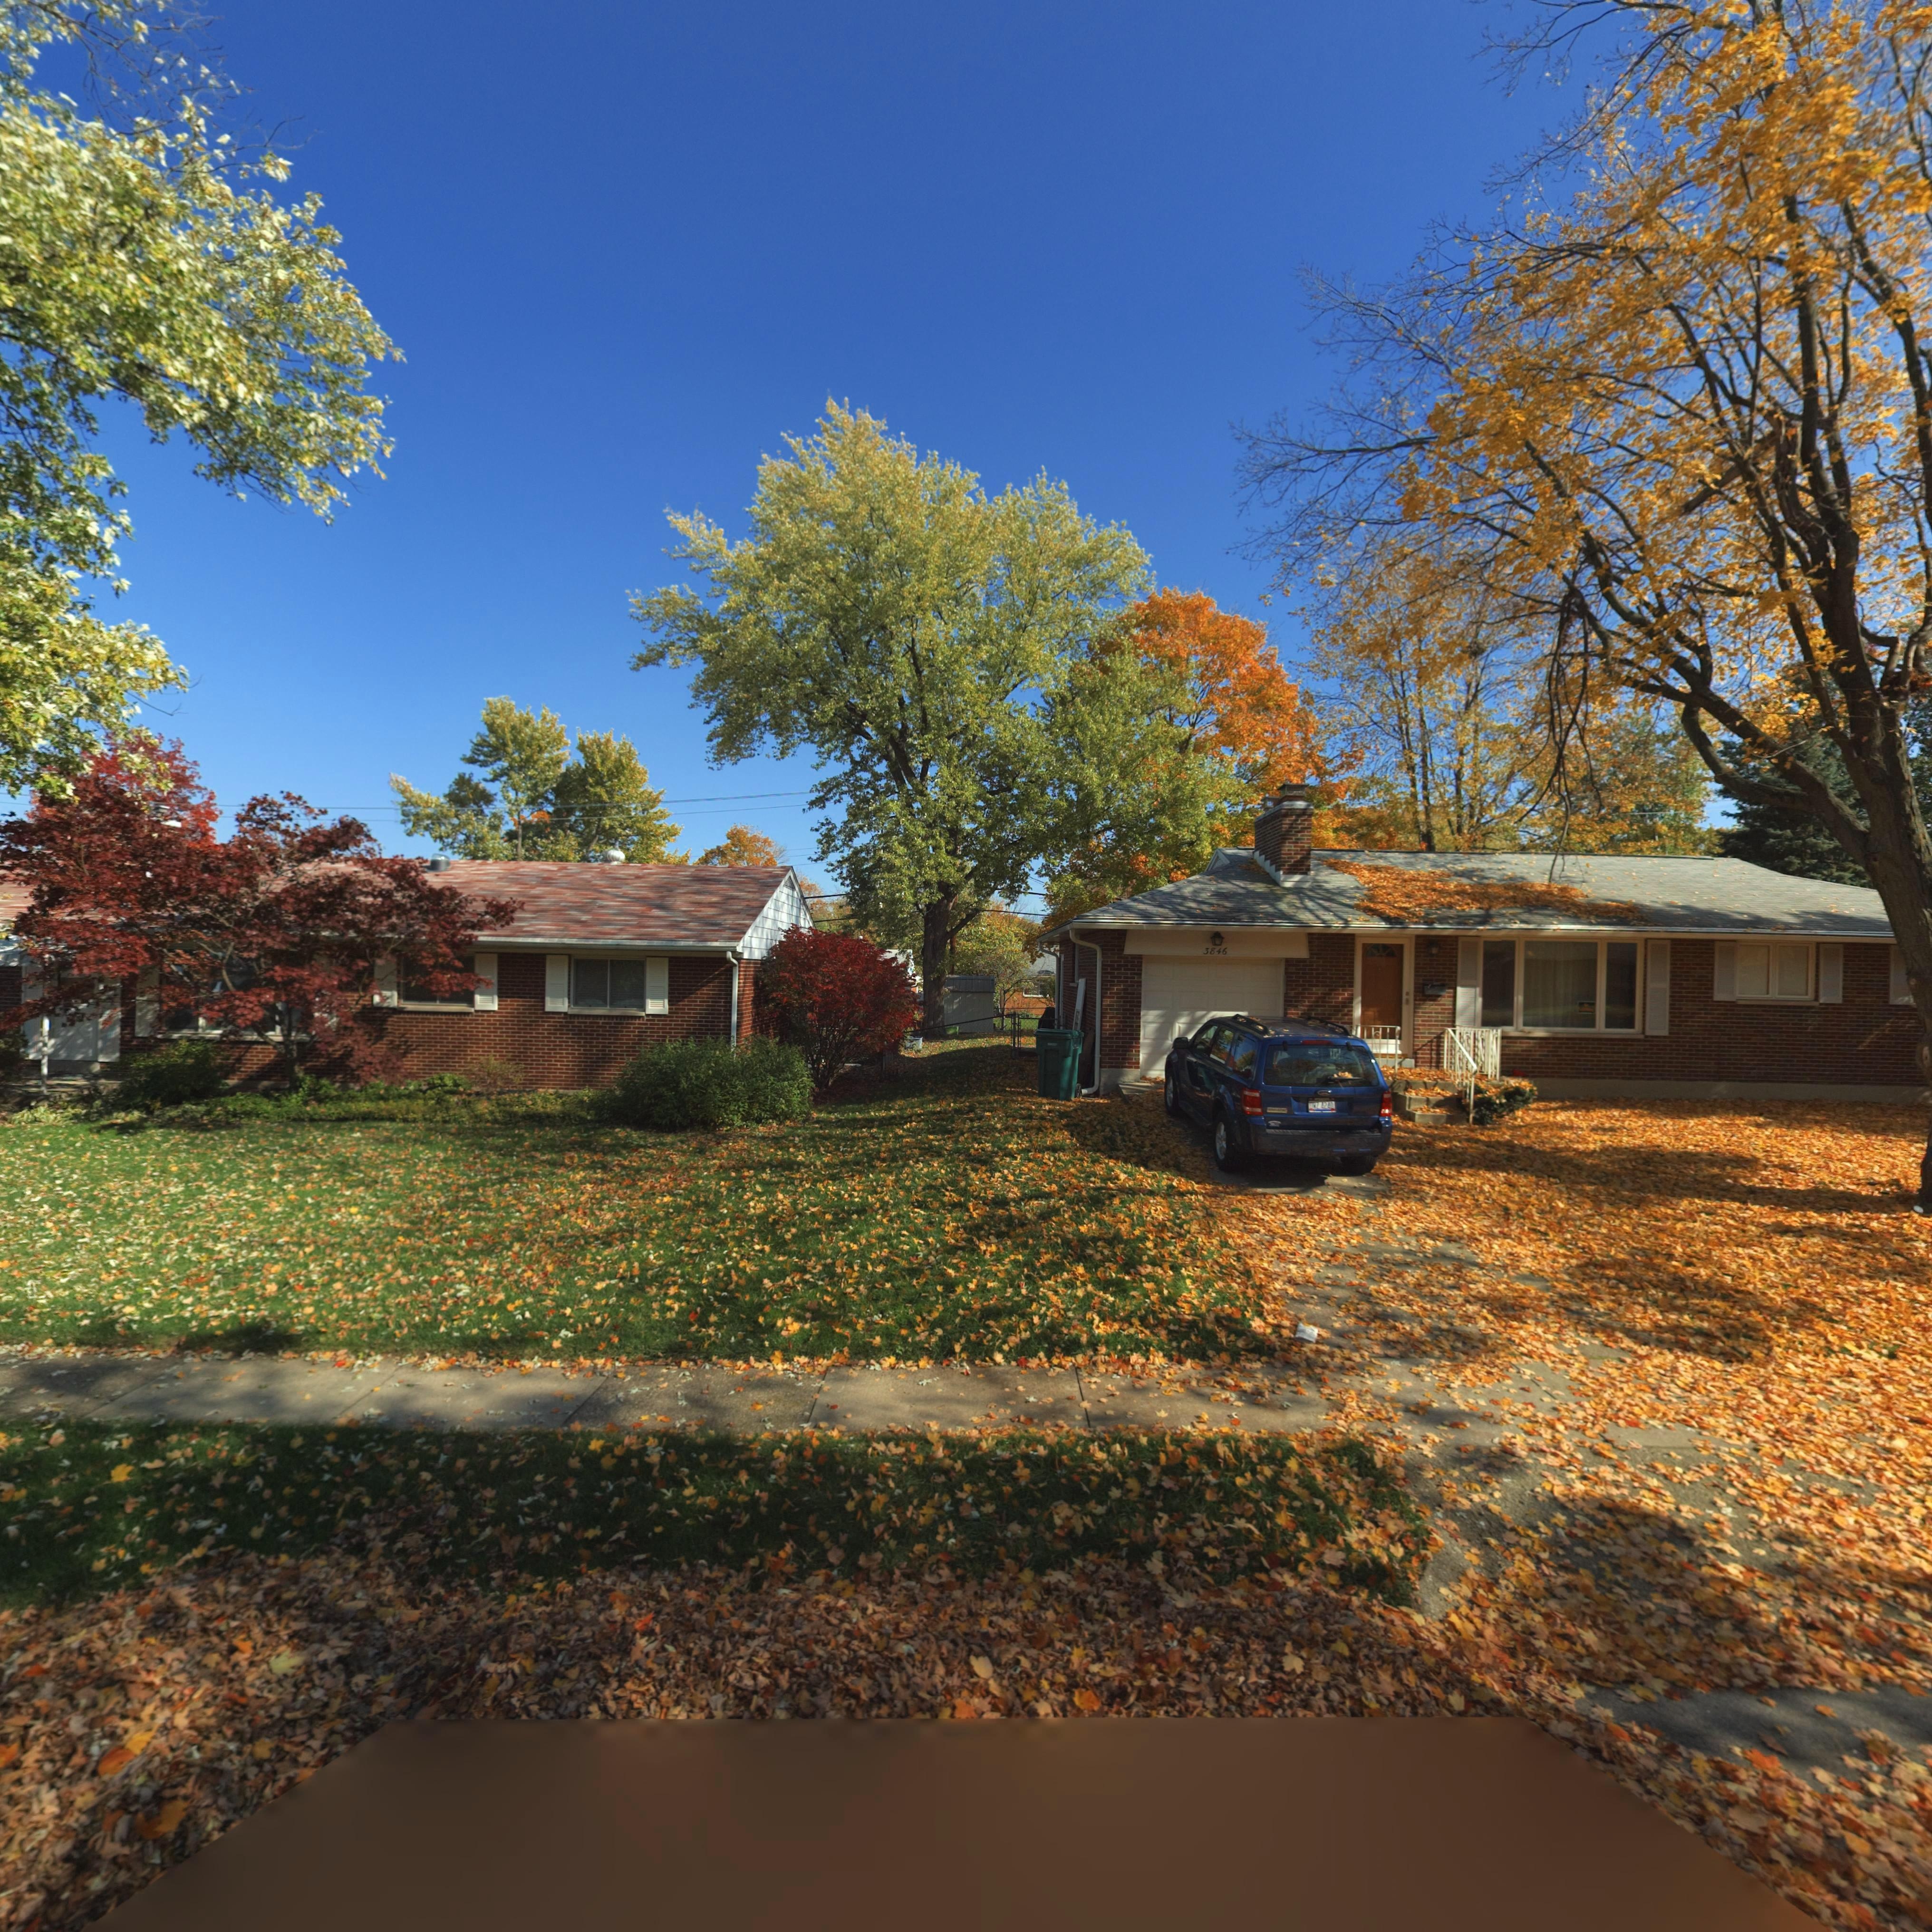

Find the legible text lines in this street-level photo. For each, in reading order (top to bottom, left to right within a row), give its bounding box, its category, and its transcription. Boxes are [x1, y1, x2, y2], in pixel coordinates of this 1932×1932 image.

[1202, 946, 1228, 956] StreetNumber: 3846
[1314, 1100, 1334, 1111] None: Z 424*